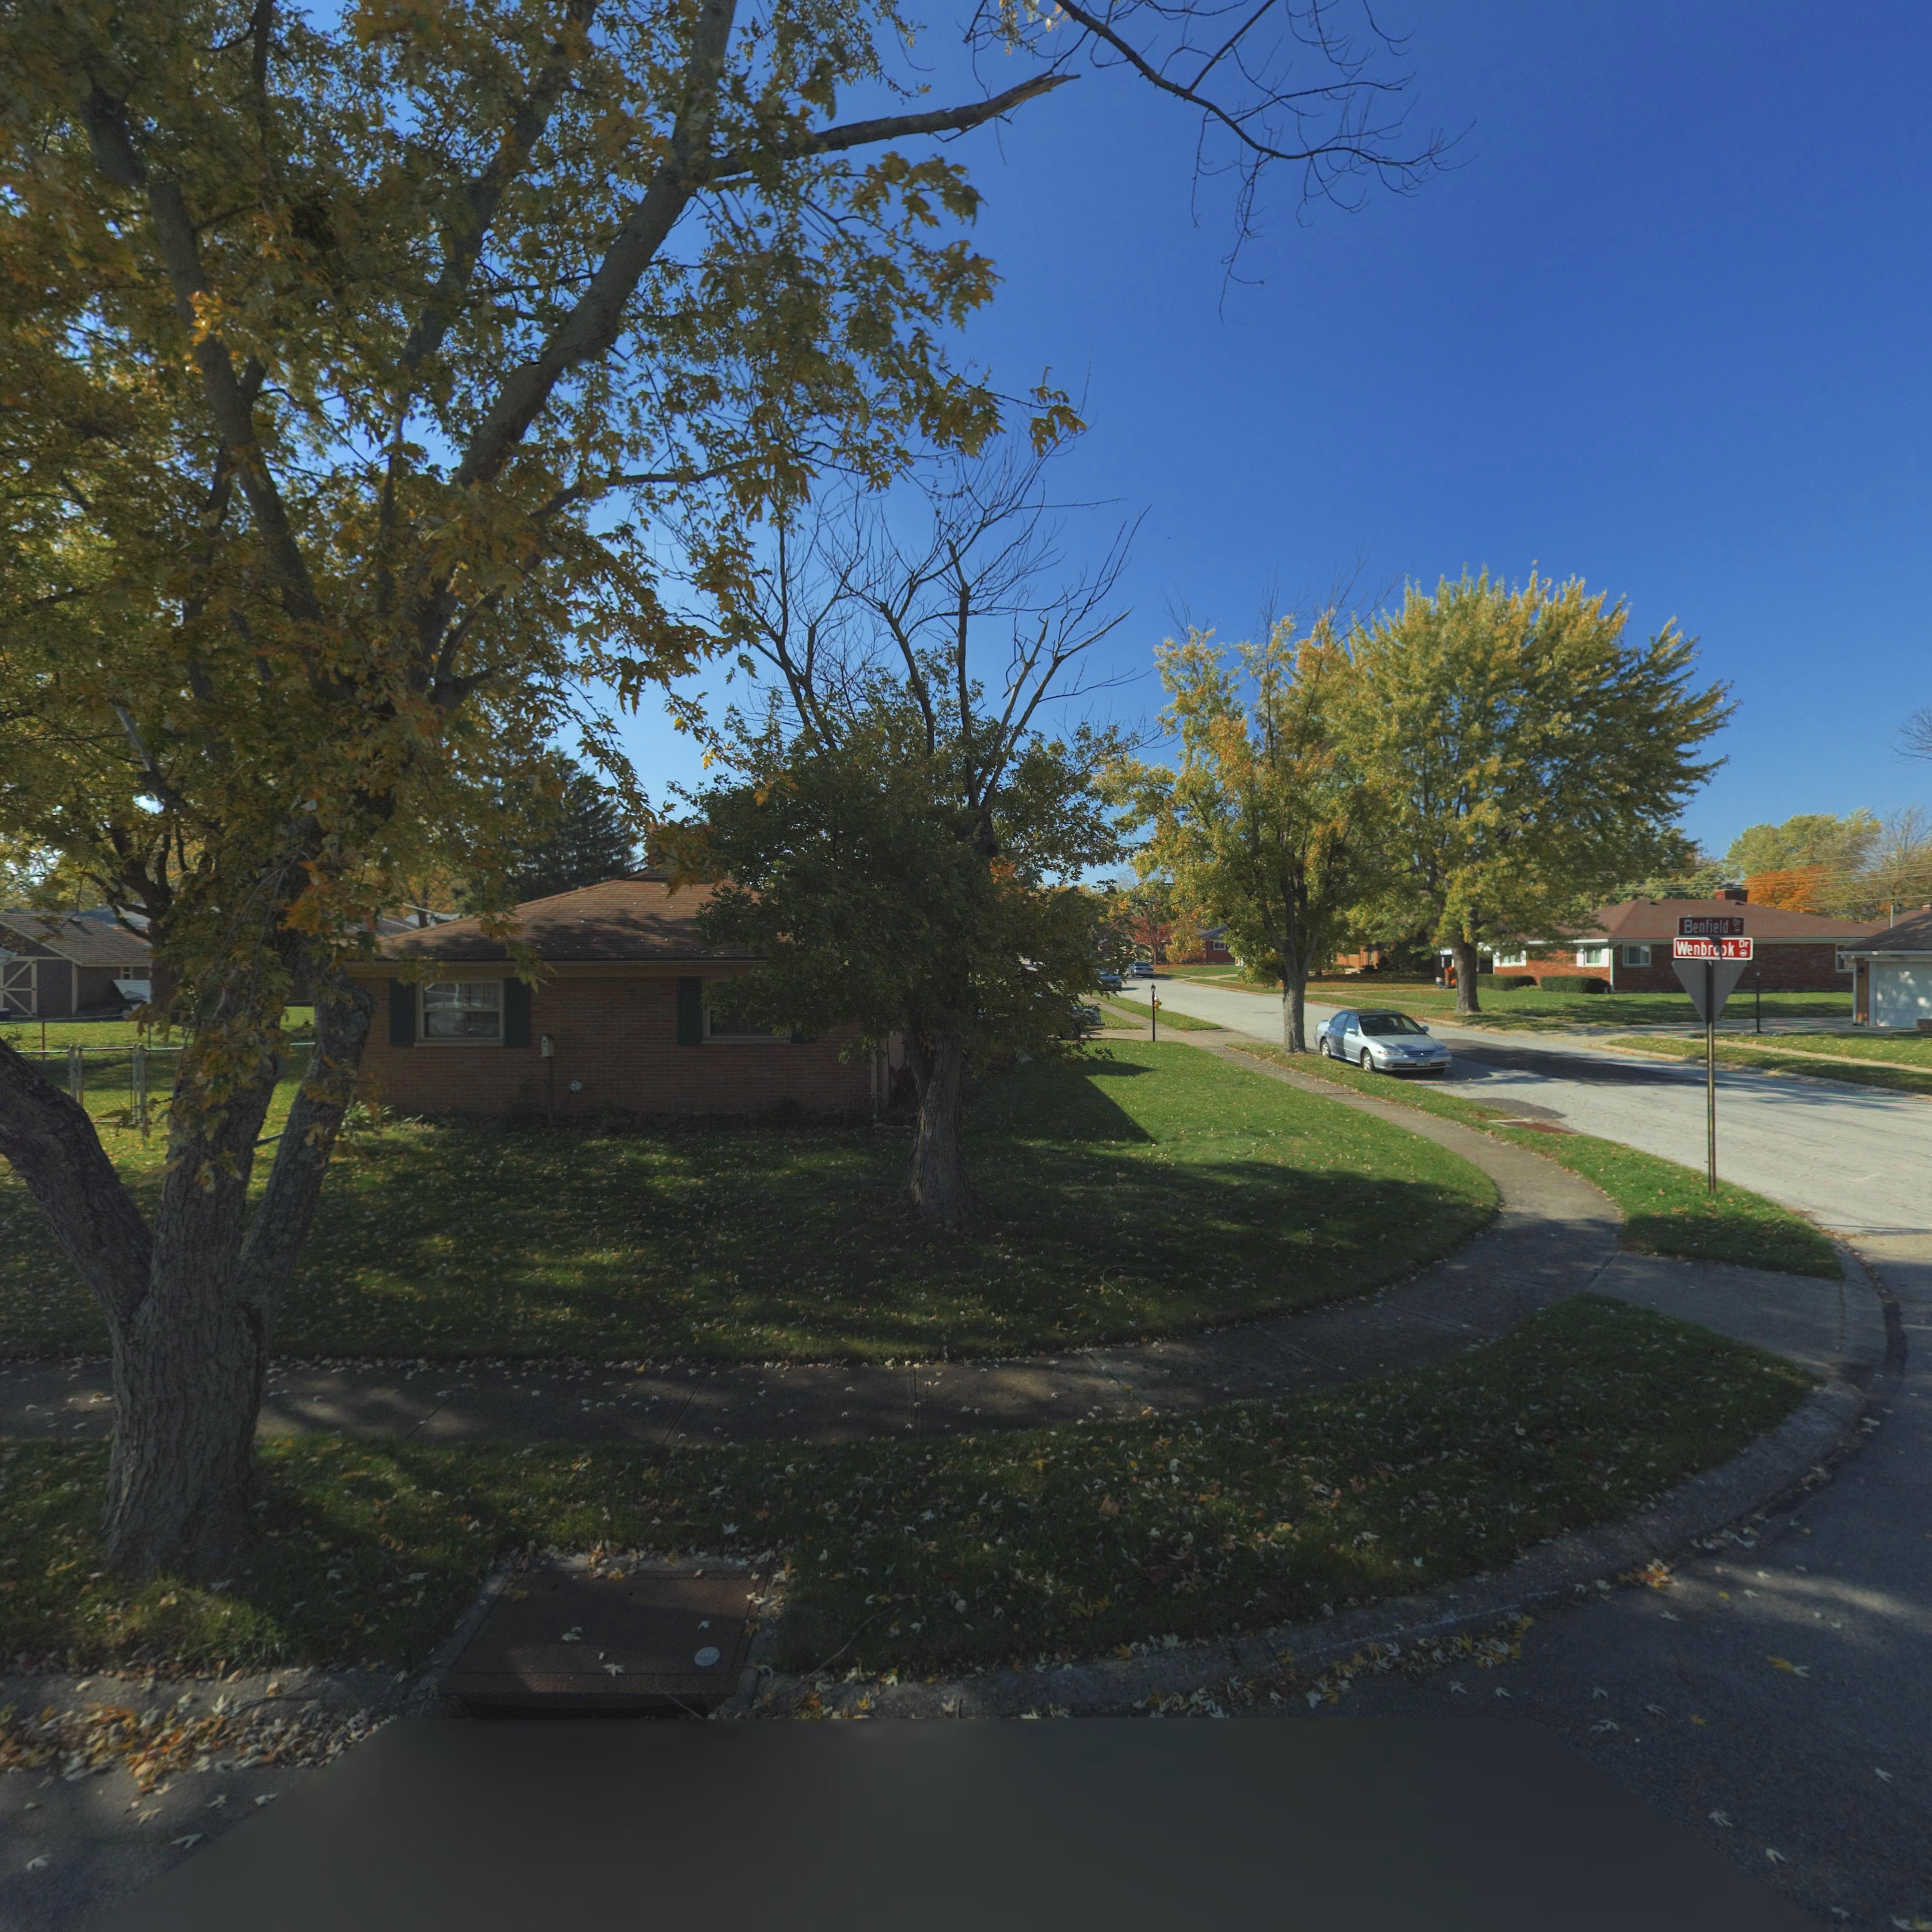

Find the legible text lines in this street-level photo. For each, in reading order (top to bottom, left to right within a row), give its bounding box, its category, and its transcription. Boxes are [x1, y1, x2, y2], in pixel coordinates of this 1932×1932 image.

[1683, 917, 1743, 935] StreetName: Benfield Dr
[1674, 938, 1750, 957] StreetName: Wenbrook Dr